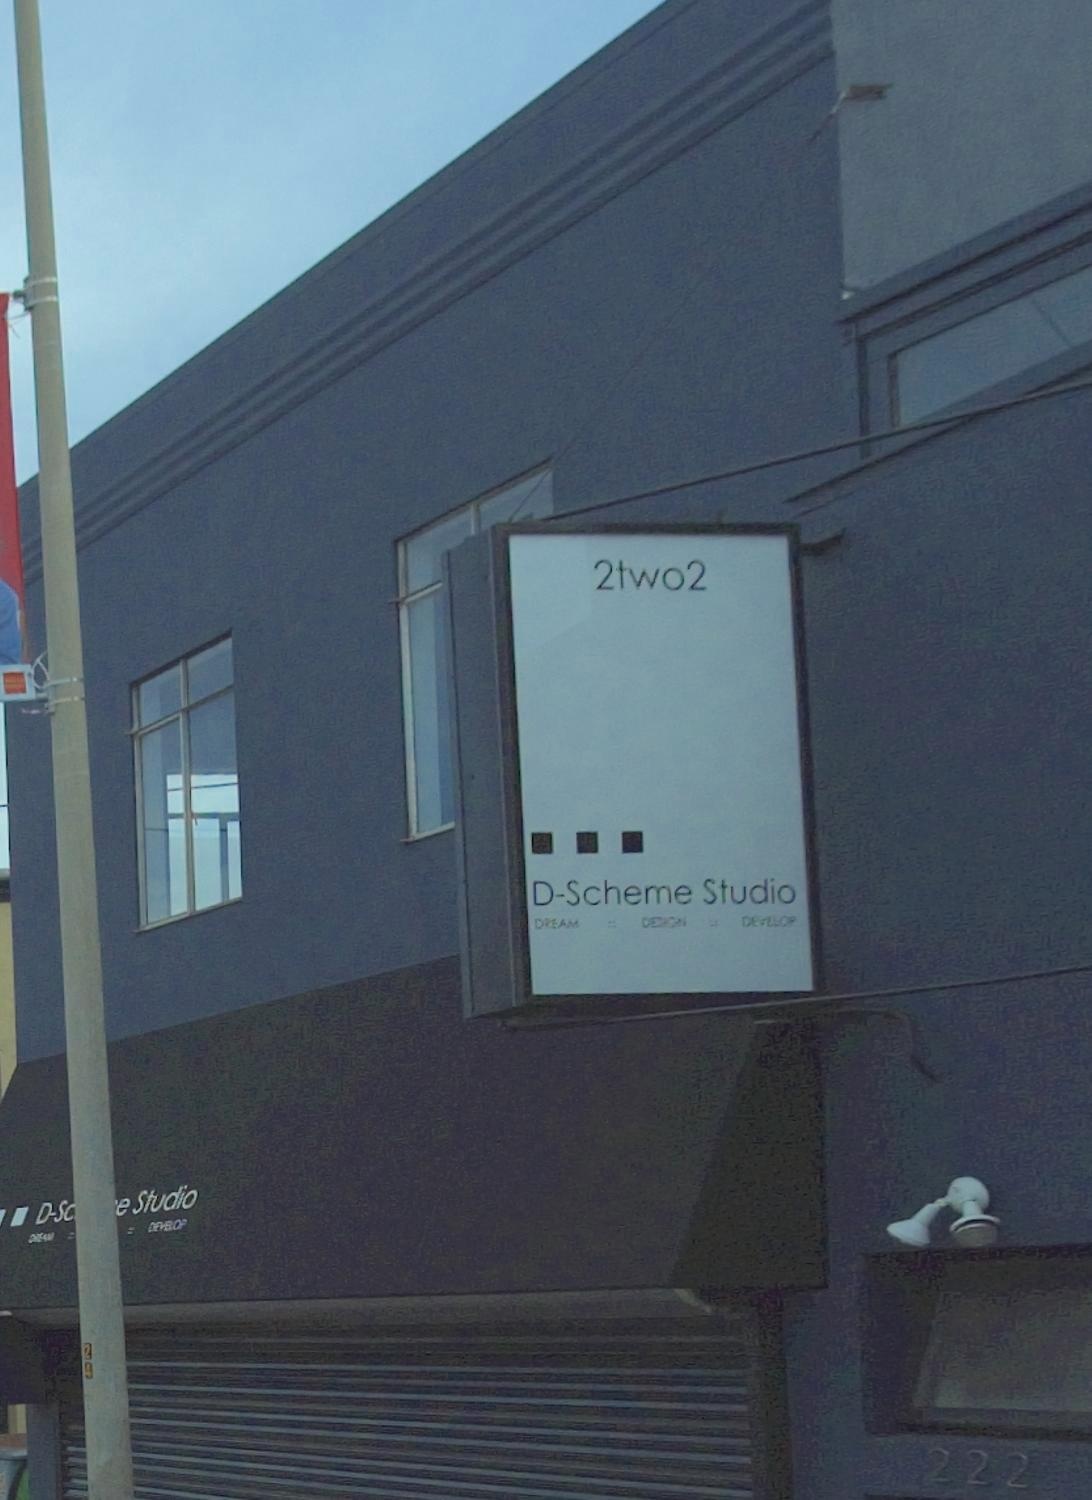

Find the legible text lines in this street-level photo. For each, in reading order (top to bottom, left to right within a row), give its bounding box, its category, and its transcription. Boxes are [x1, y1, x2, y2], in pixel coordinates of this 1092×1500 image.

[590, 556, 712, 595] StreetNumber: 2two2
[528, 874, 799, 912] BusinessName: D-Scheme Studio
[531, 913, 800, 934] None: DREAM * DE***N * DE***OP
[29, 1180, 202, 1229] BusinessName: D-Sc***e Studio
[144, 1215, 191, 1237] None: DEVE*OP
[82, 1339, 95, 1380] None: 24
[923, 1443, 1035, 1493] StreetNumber: 222